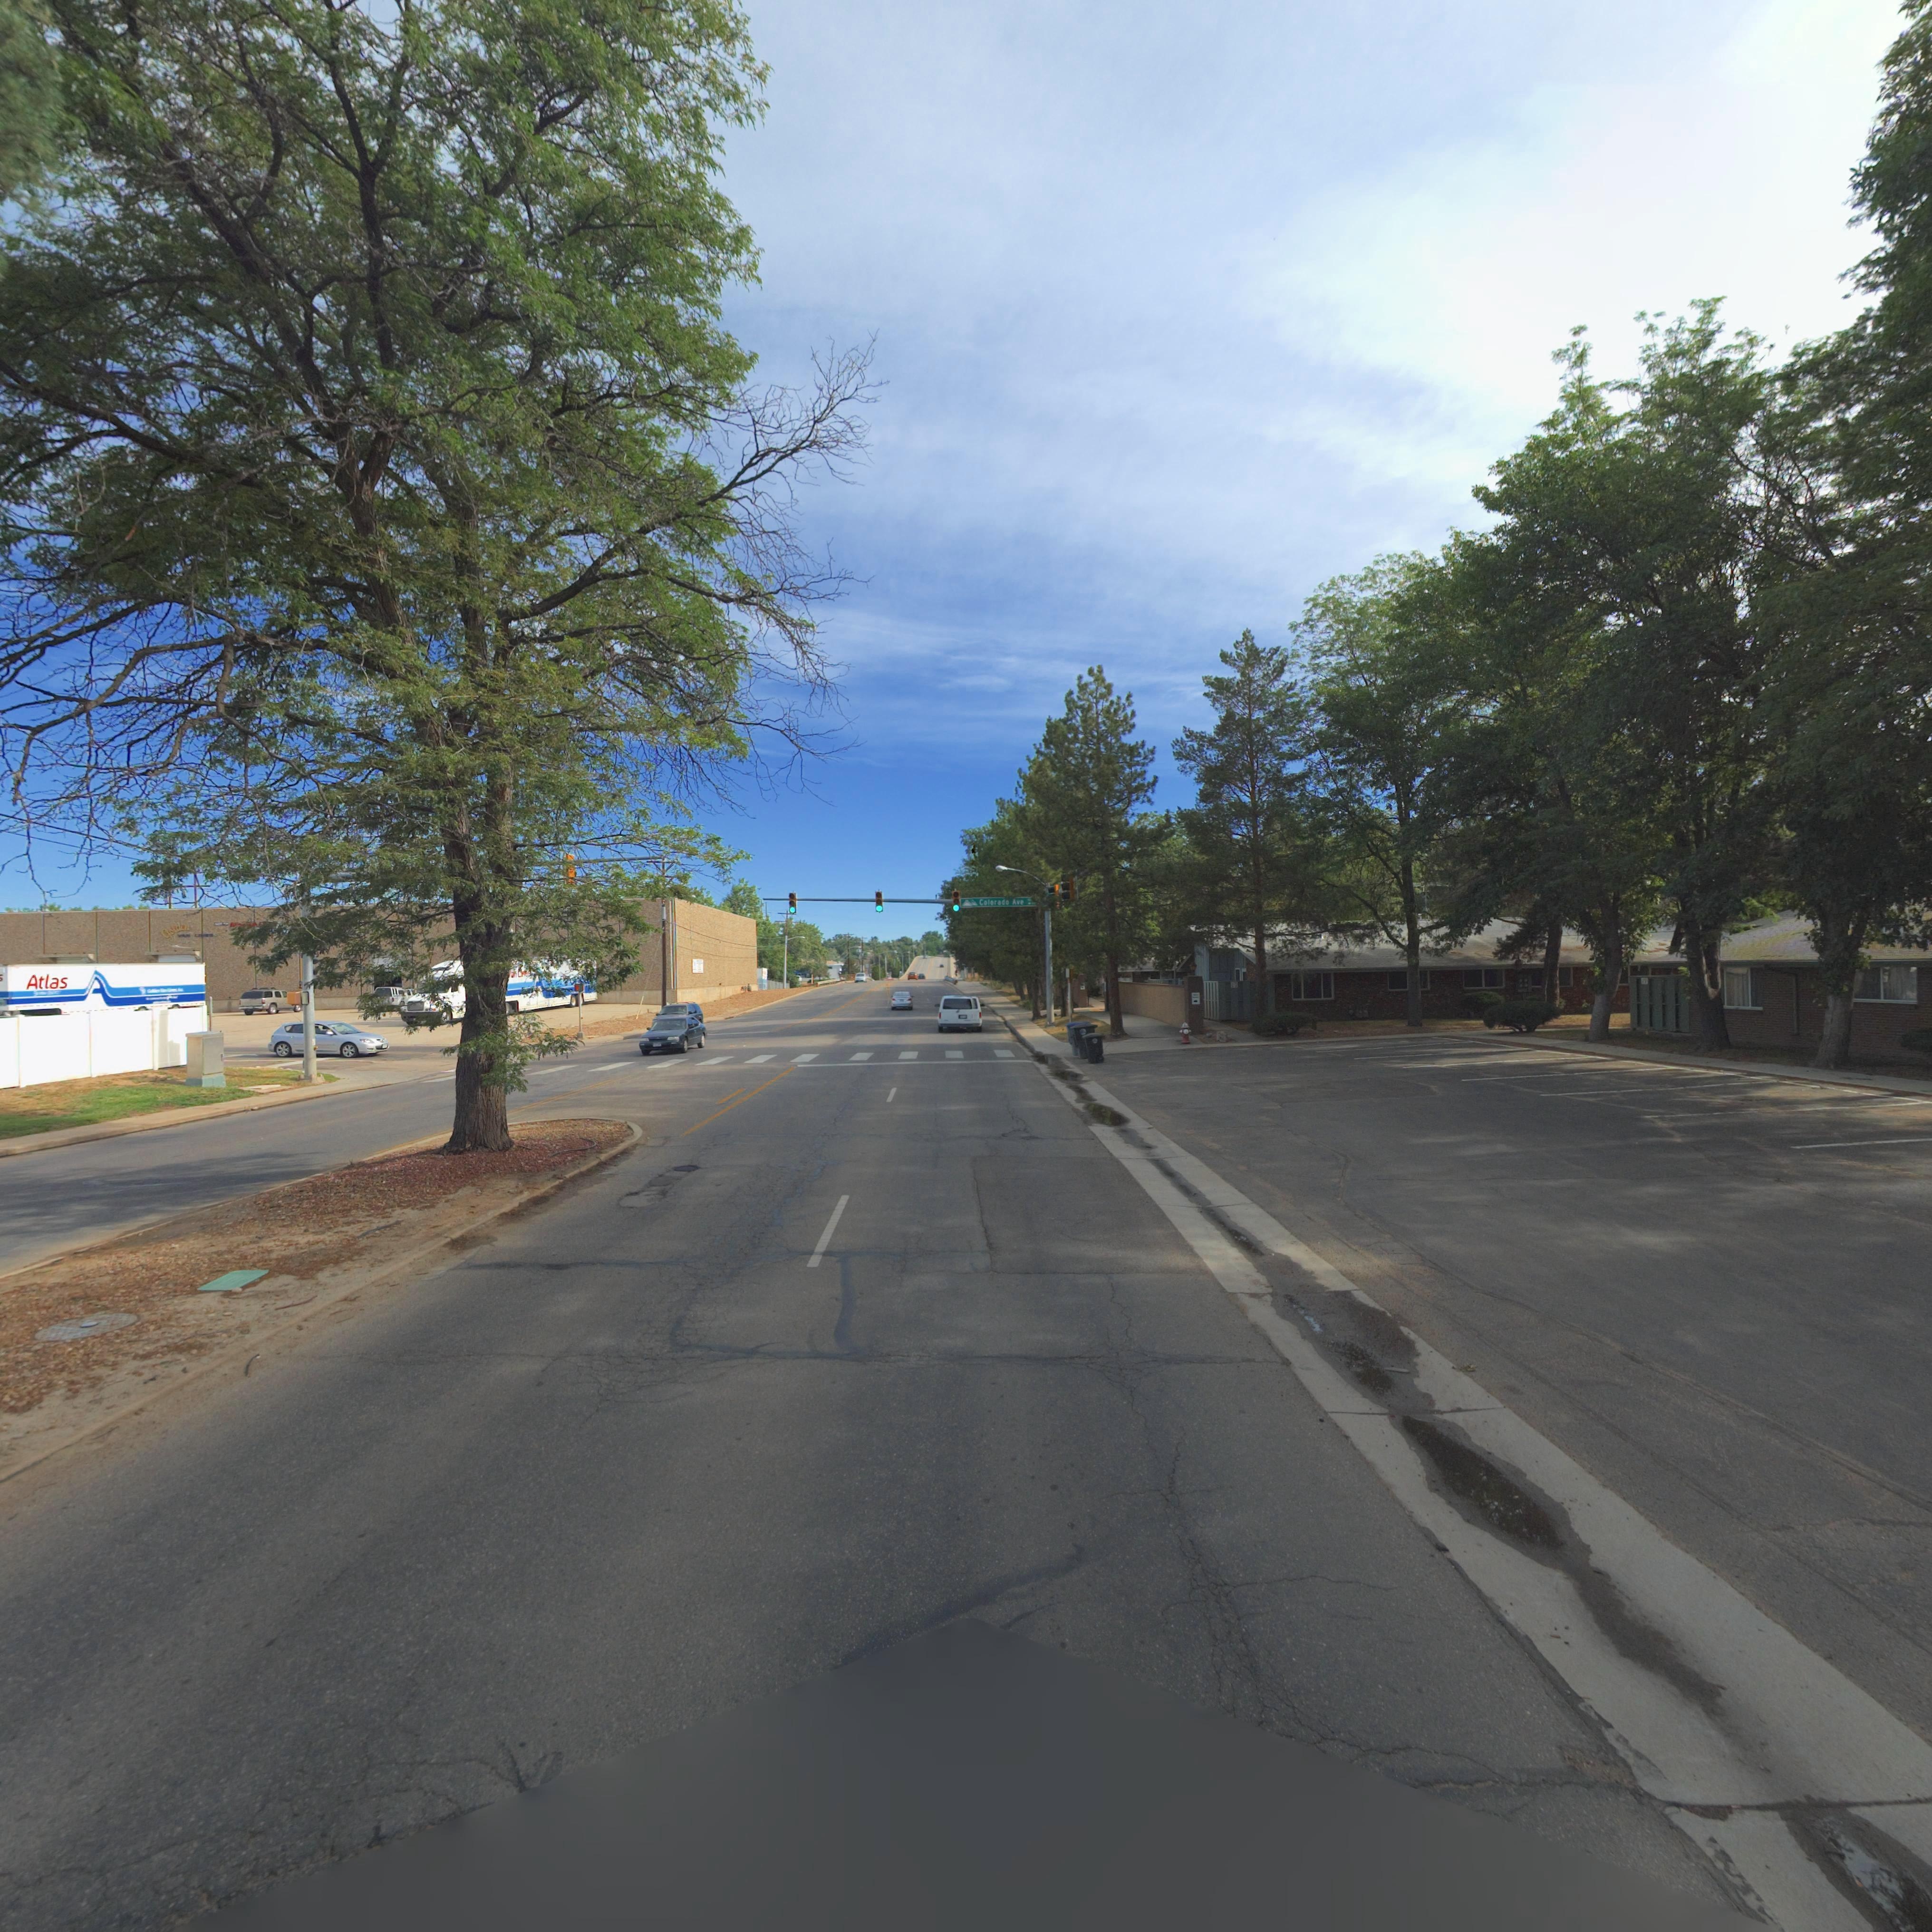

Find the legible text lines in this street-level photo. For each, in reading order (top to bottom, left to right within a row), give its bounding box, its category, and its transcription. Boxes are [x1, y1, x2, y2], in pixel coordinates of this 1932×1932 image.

[979, 898, 1024, 905] StreetName: Colorado Ave
[161, 921, 190, 942] BusinessName: Golden